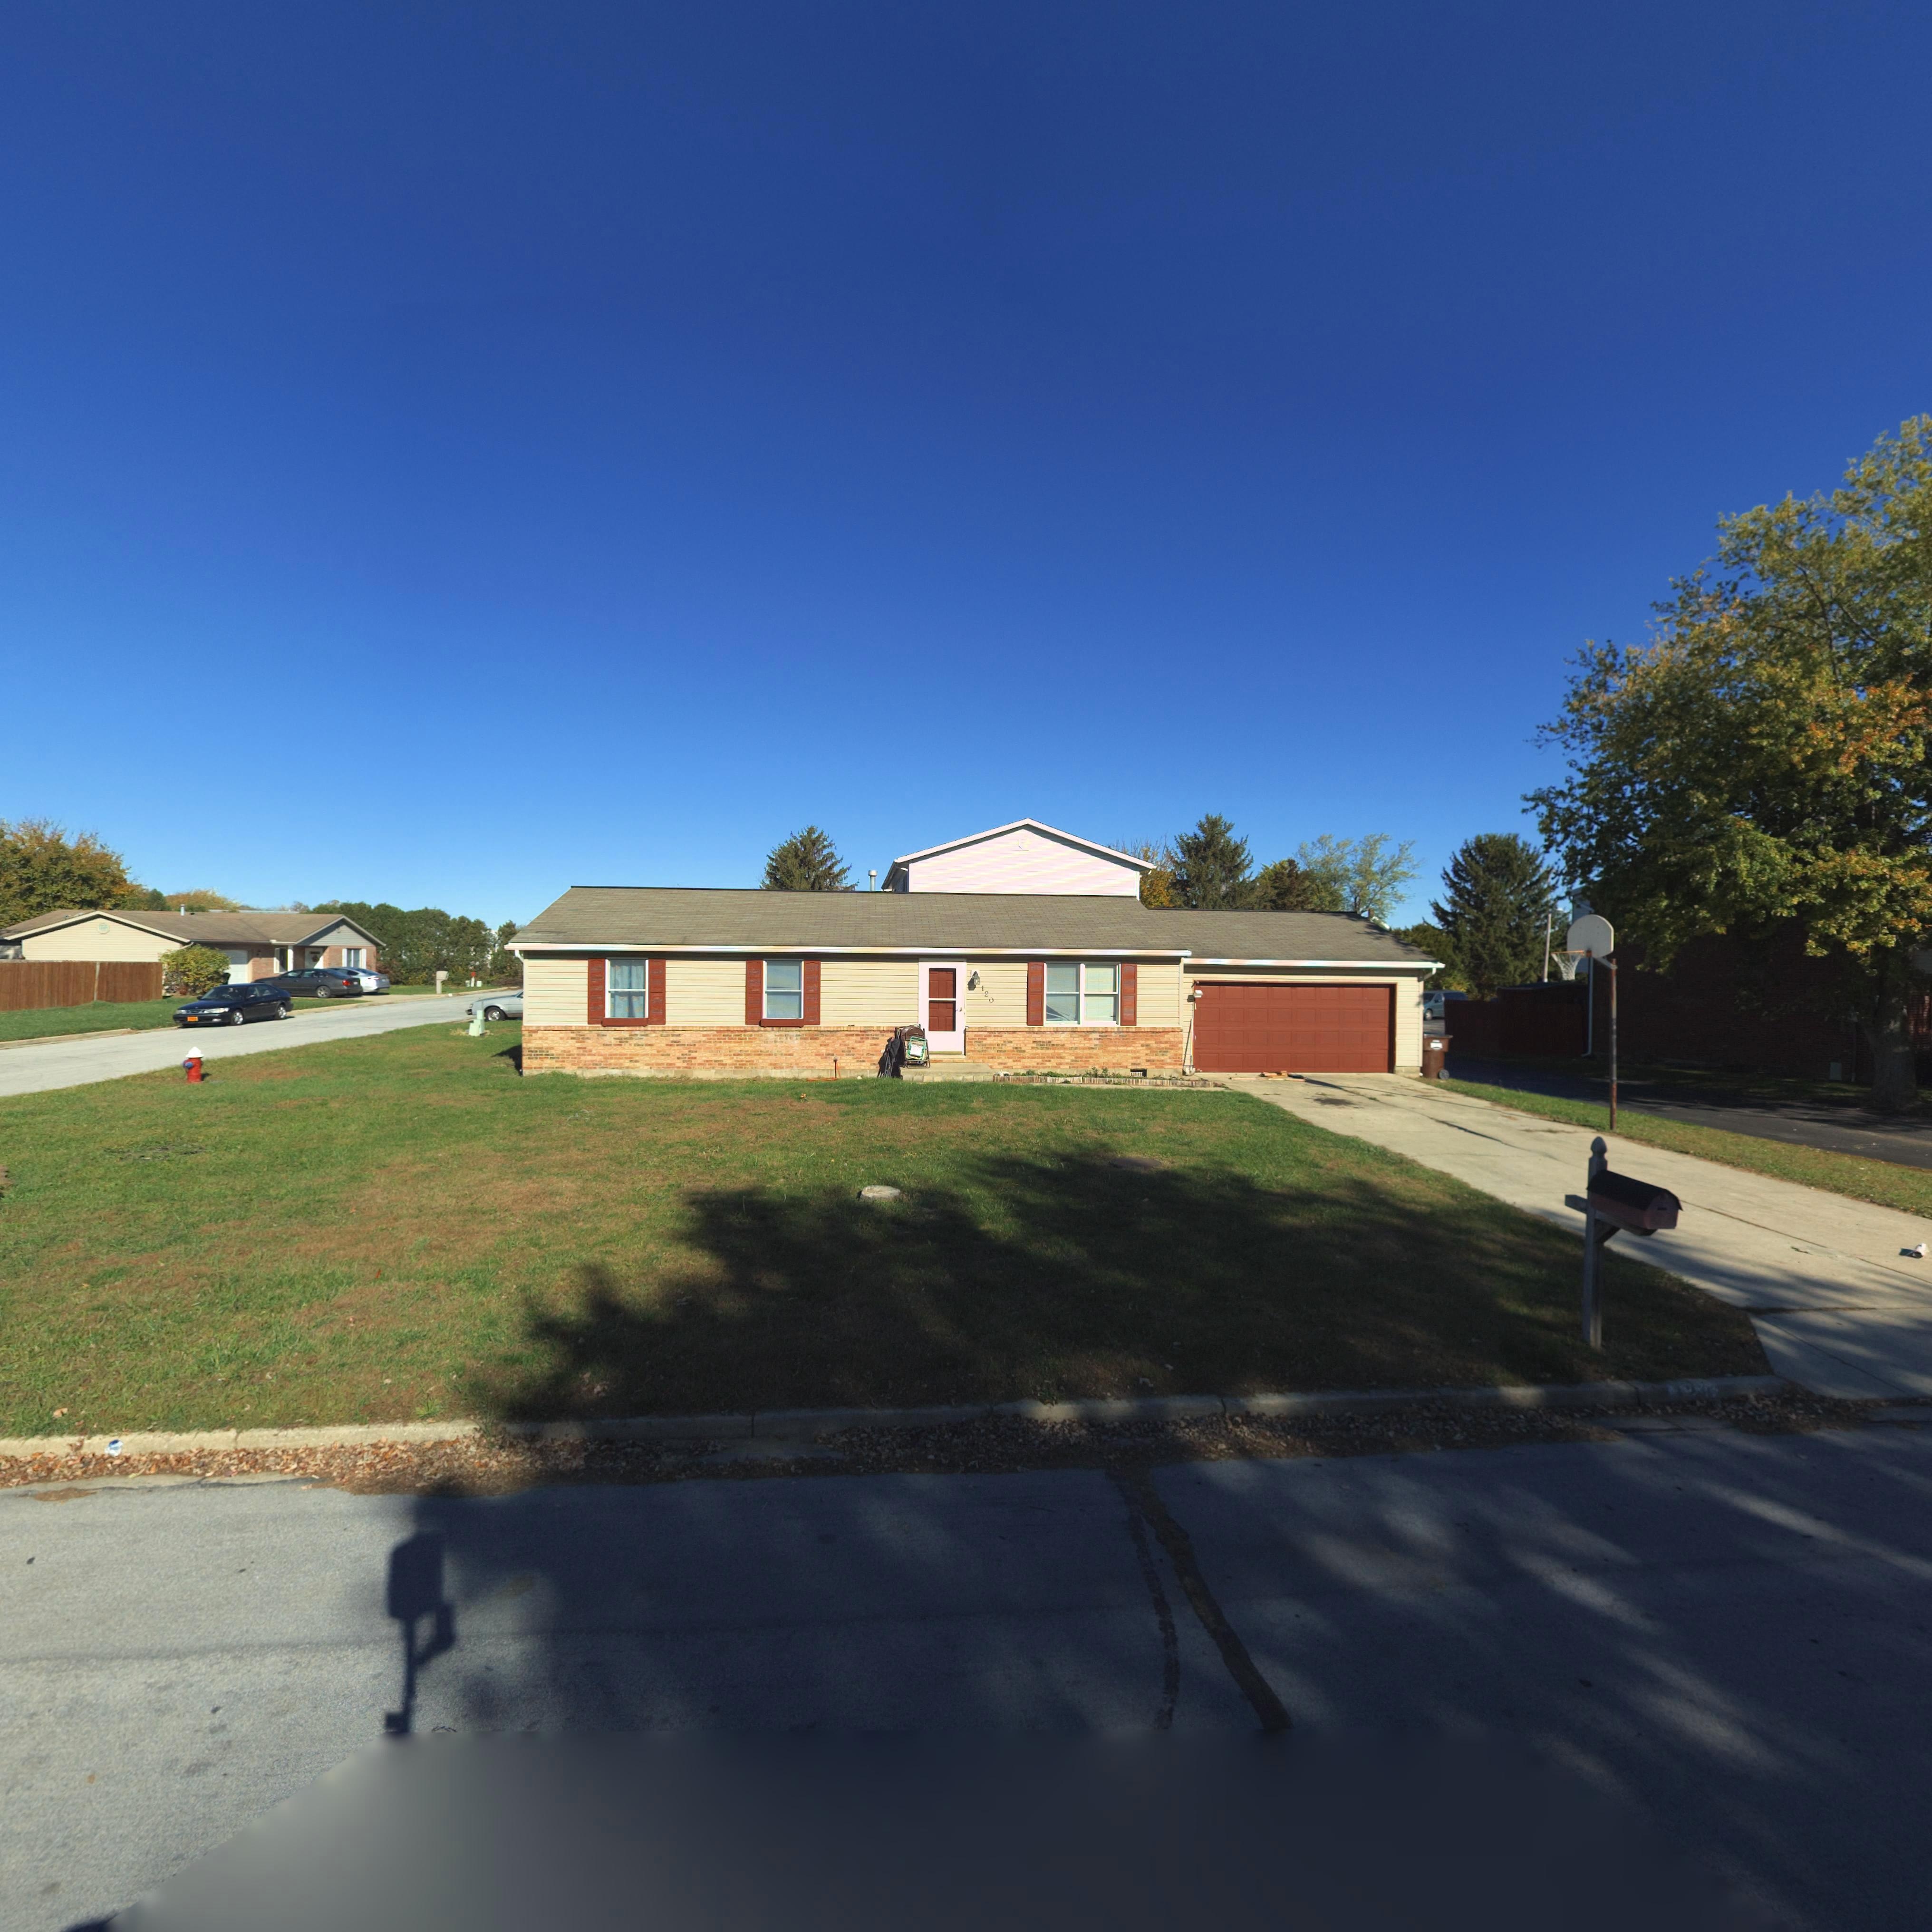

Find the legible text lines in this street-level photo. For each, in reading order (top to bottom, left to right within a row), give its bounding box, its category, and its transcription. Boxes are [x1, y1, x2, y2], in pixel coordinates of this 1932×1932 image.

[980, 985, 995, 1004] StreetNumber: 120